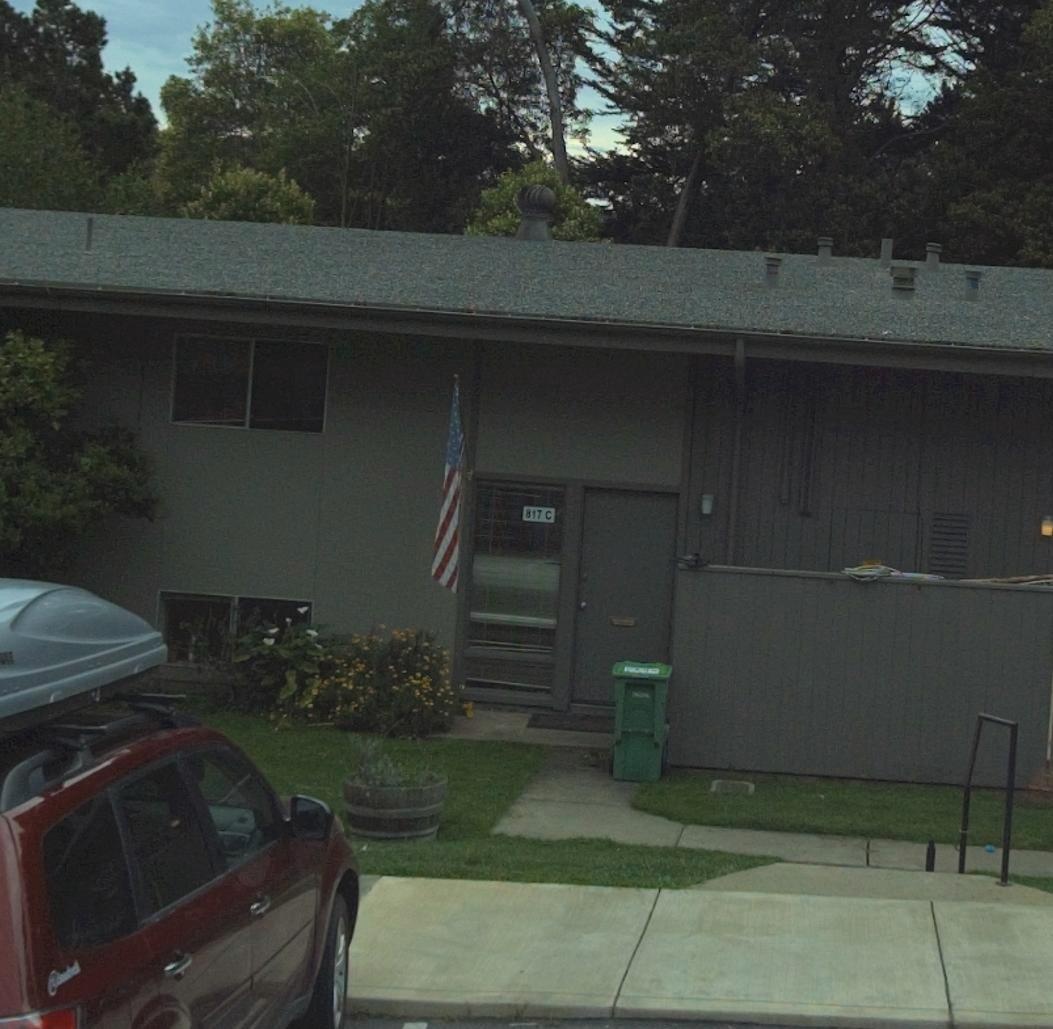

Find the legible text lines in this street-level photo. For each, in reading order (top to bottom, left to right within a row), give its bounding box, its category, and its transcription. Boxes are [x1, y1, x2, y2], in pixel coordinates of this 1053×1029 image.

[524, 508, 553, 521] StreetNumber: 817 C